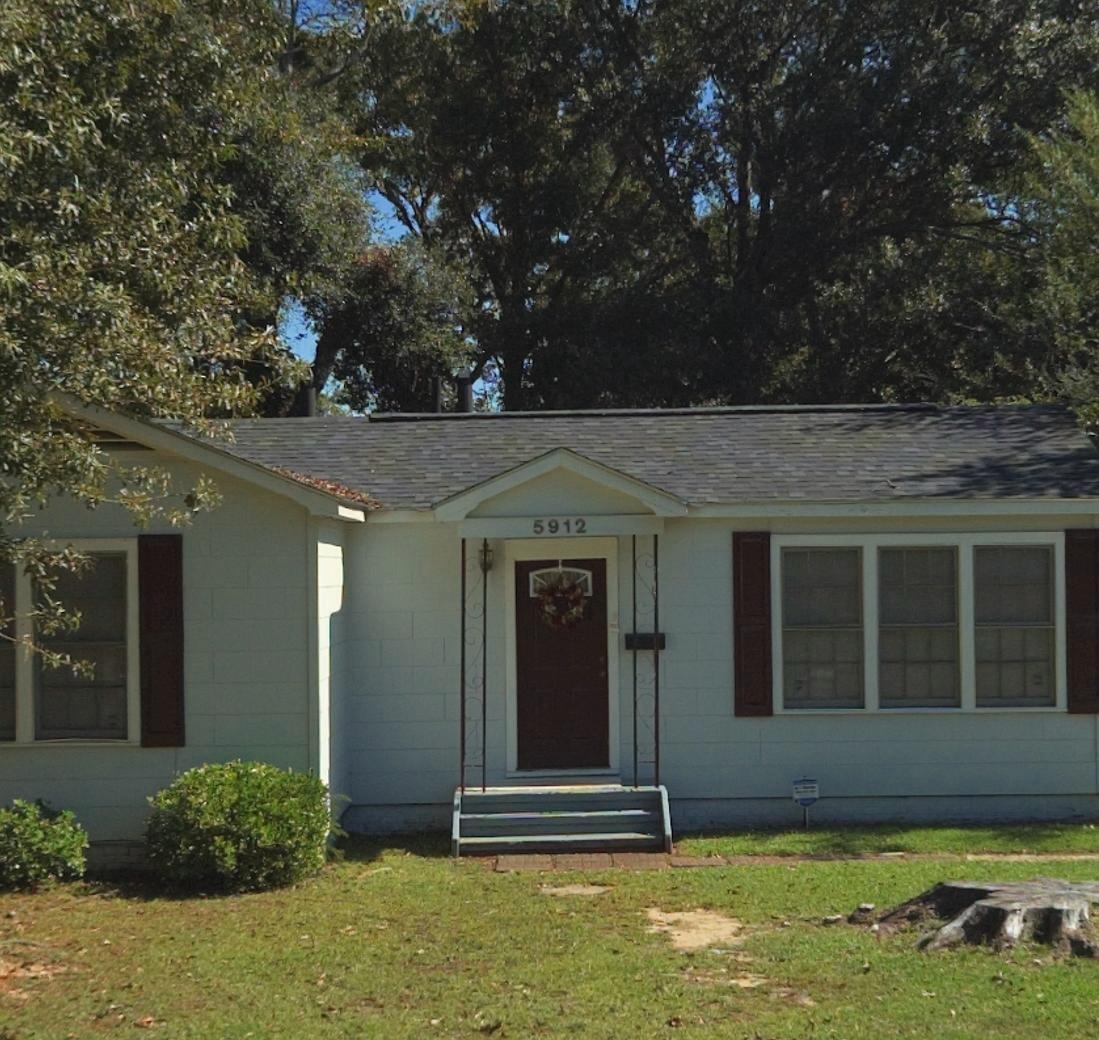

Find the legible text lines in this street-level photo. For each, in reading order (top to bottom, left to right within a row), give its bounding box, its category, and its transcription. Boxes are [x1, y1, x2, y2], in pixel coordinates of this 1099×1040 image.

[532, 518, 587, 535] StreetNumber: 5912